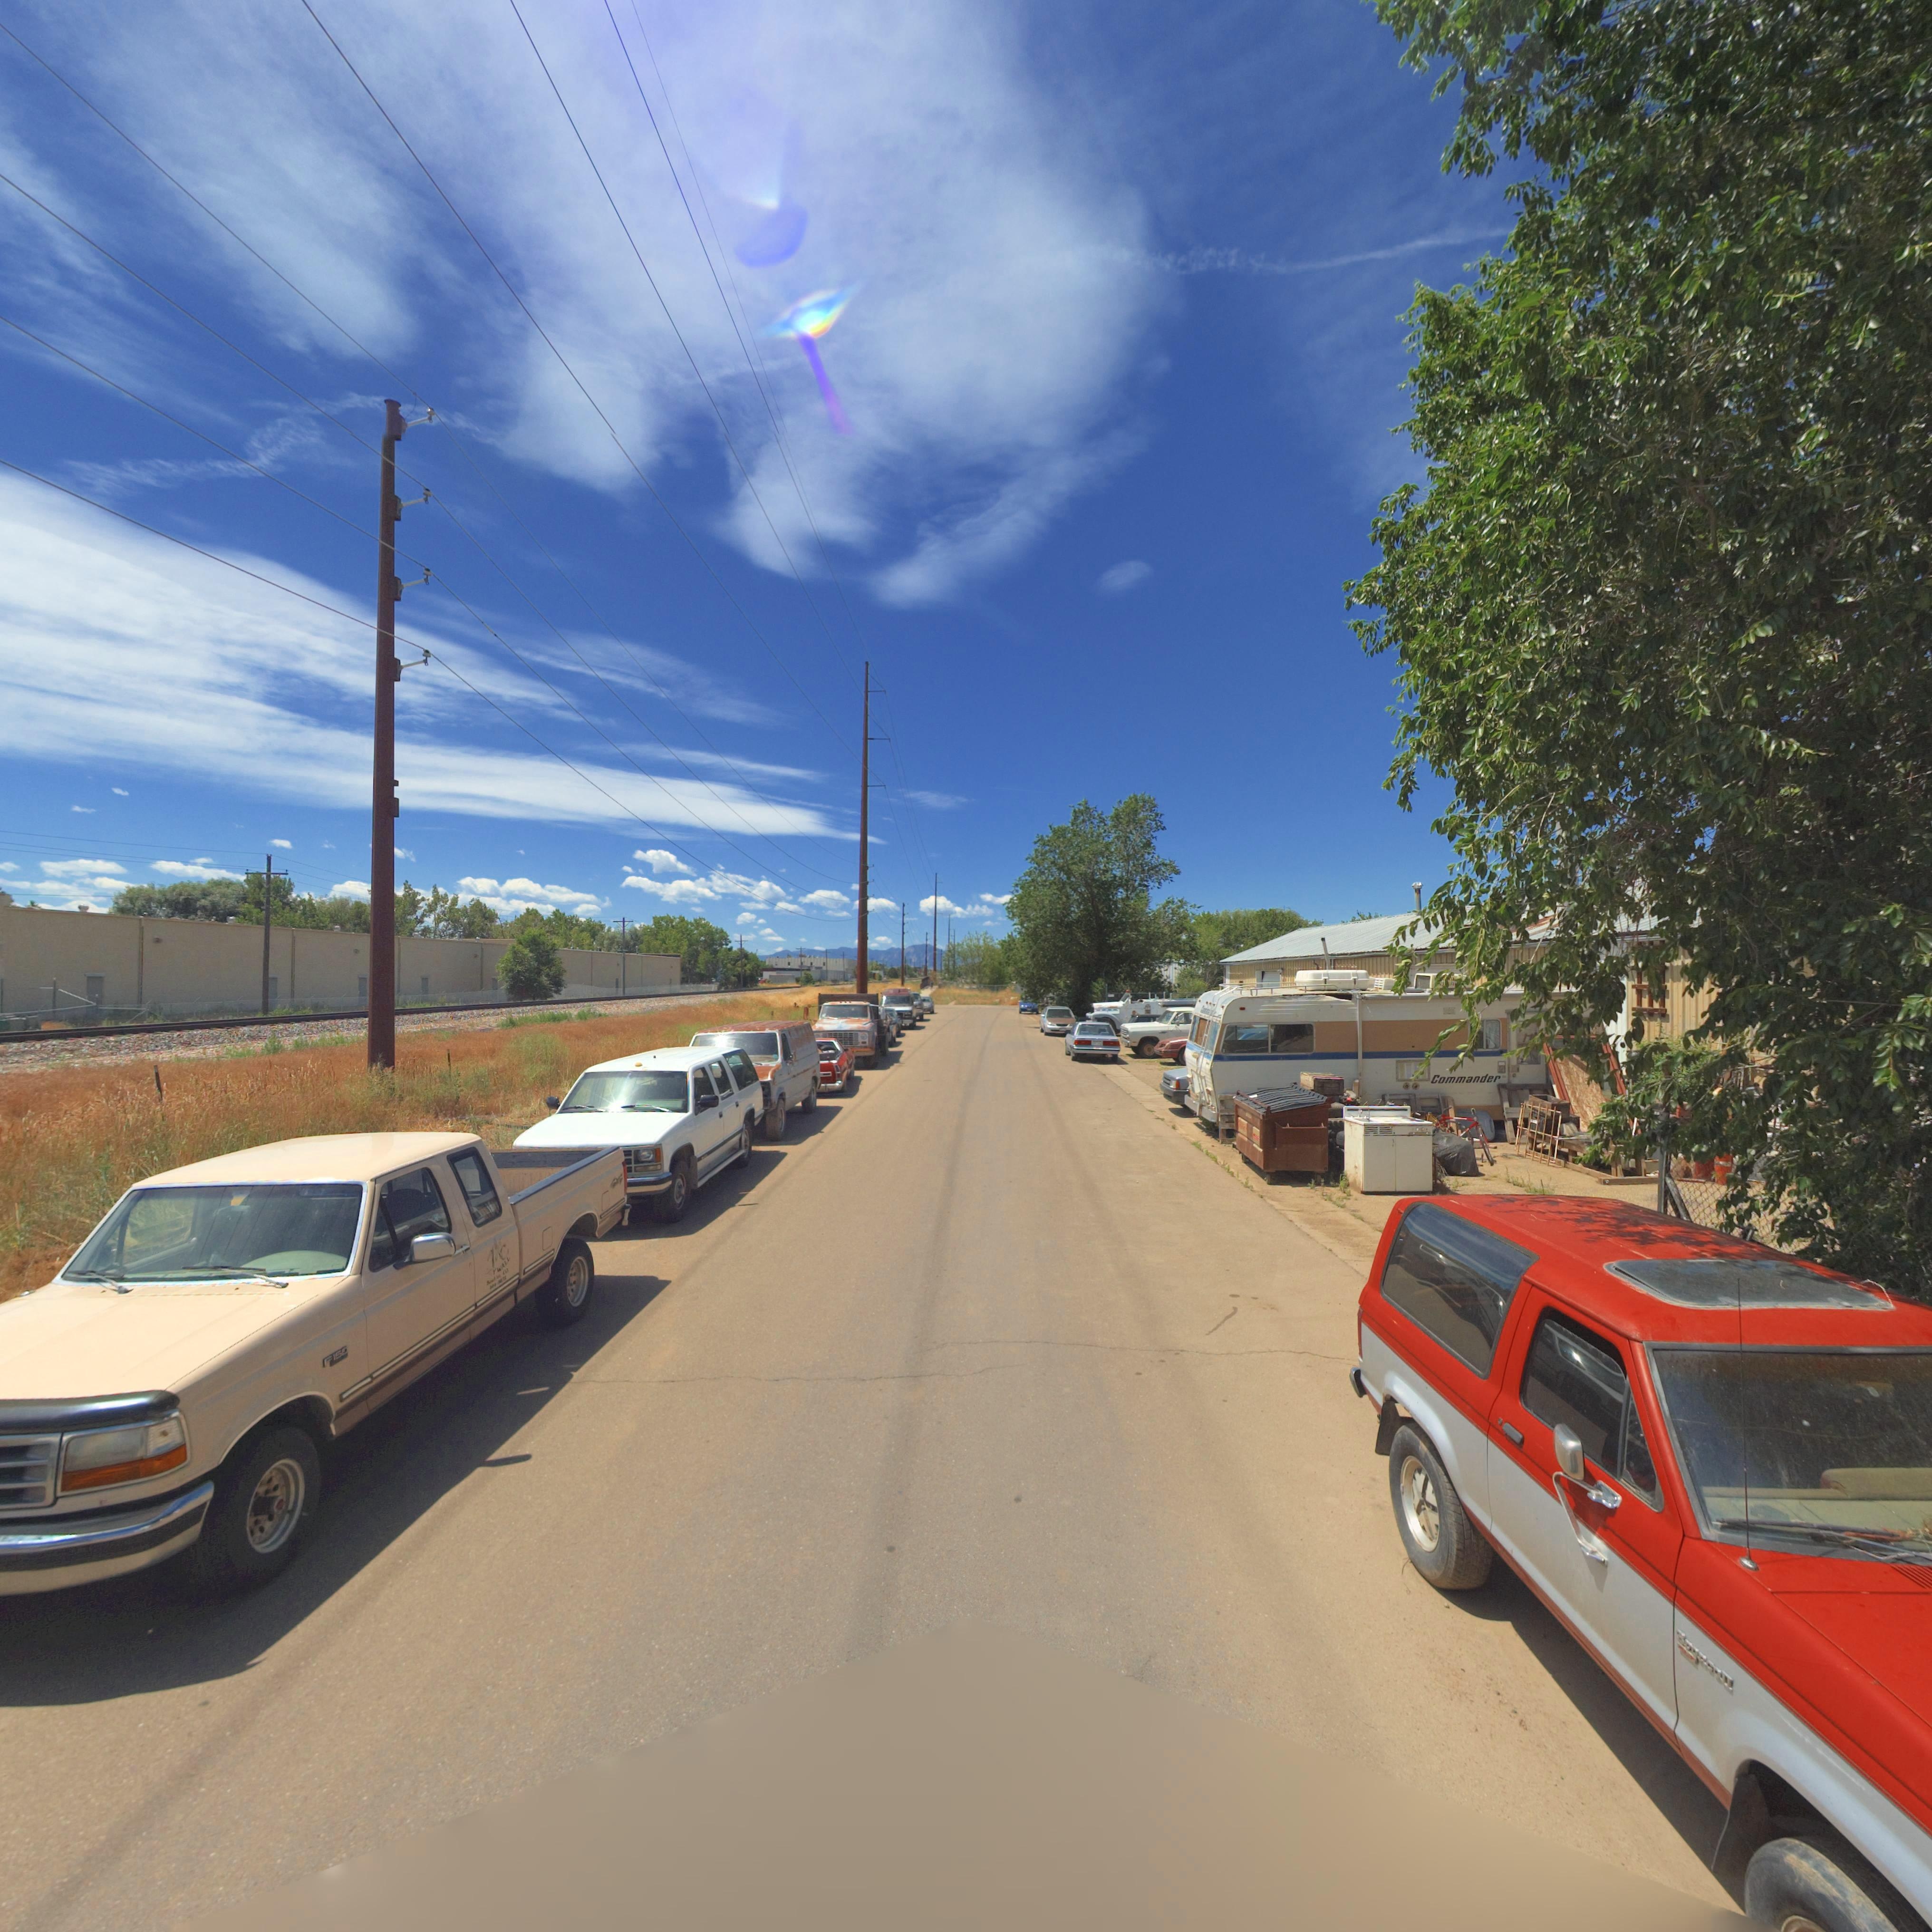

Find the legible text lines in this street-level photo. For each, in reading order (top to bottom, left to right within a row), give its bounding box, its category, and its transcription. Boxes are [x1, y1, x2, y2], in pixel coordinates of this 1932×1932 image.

[1430, 1073, 1501, 1084] None: *r